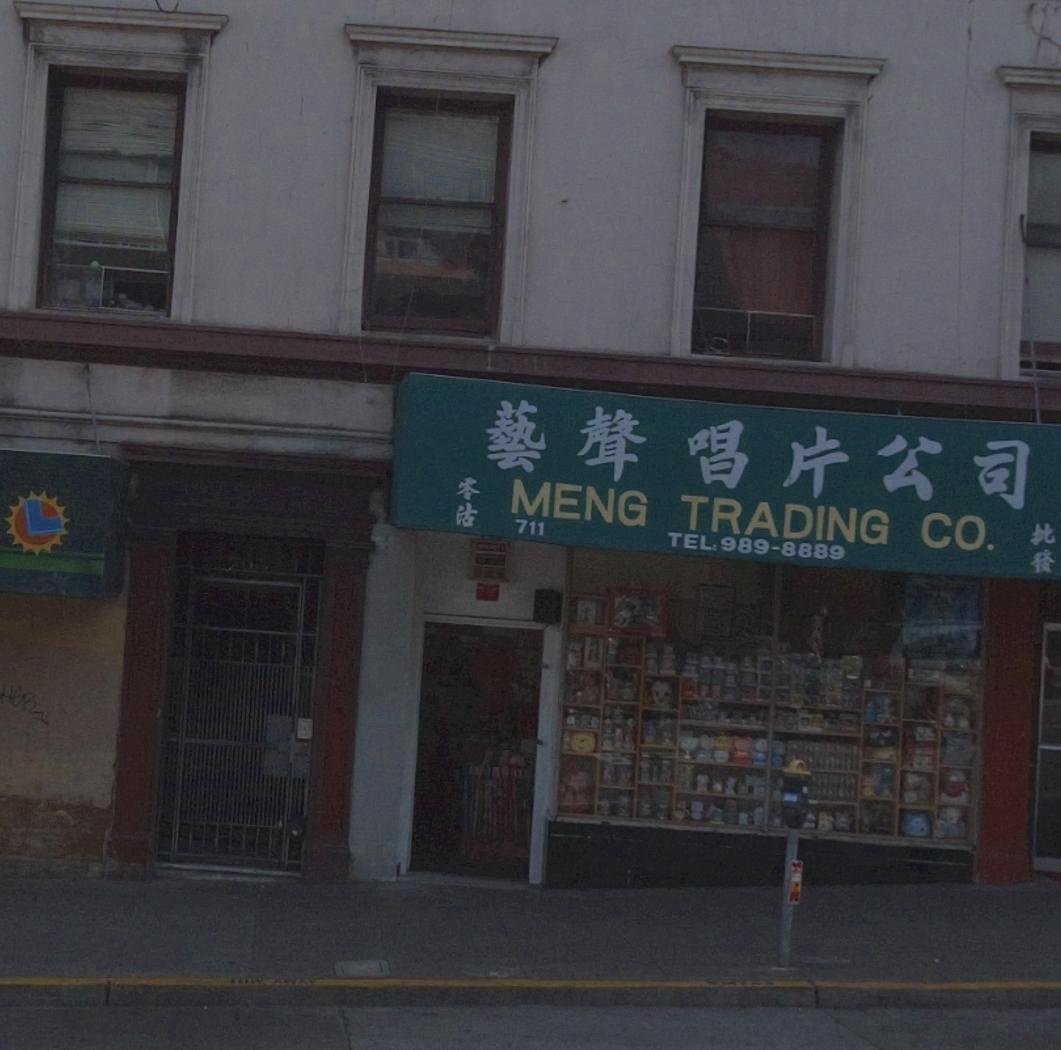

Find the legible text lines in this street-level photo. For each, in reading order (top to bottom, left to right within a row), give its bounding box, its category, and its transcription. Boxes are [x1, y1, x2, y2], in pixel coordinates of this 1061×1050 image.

[513, 516, 547, 539] StreetNumber: 711
[509, 475, 996, 553] BusinessName: MENG TRADING CO.
[666, 530, 847, 562] None: TEL.989-8889